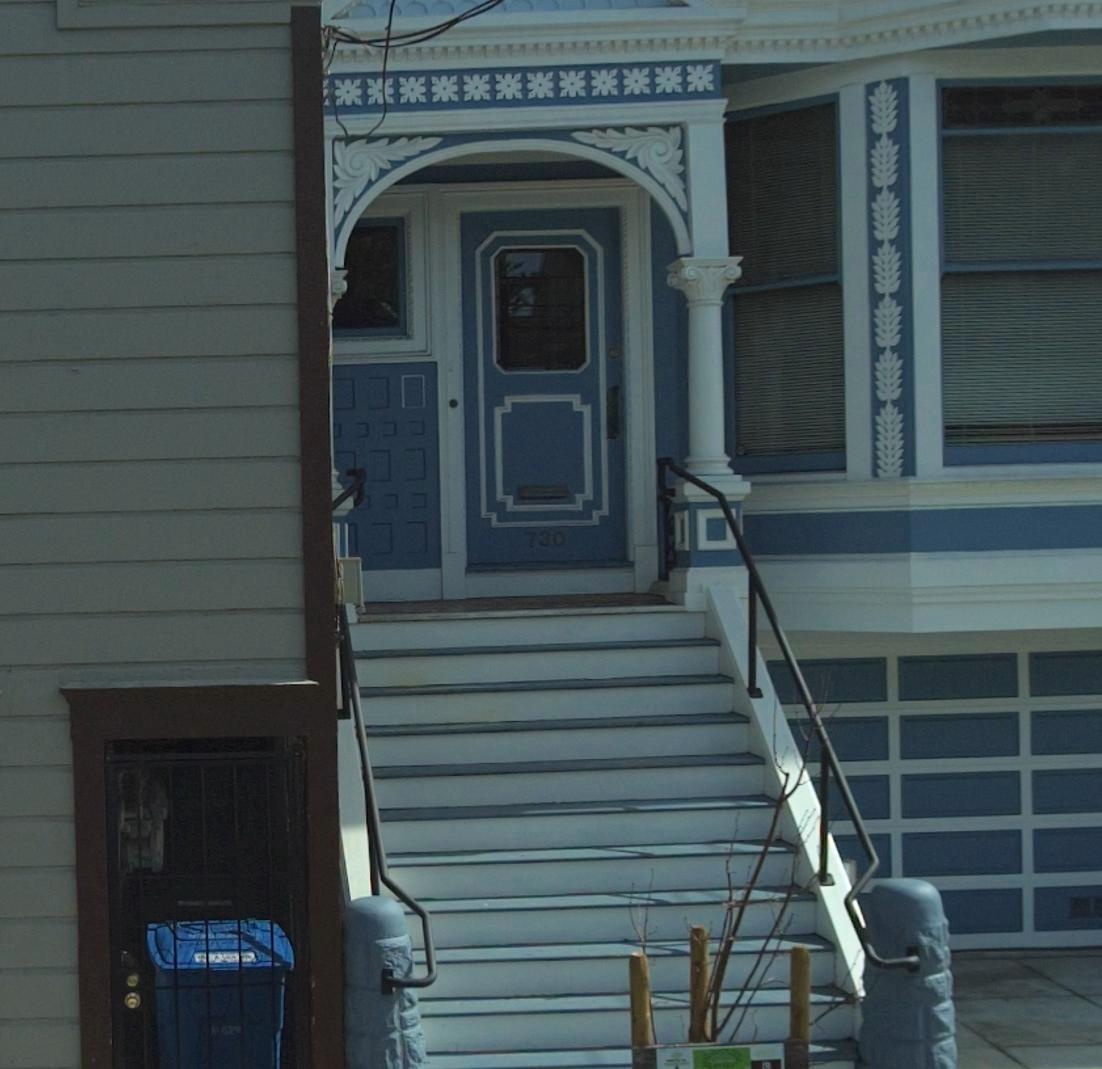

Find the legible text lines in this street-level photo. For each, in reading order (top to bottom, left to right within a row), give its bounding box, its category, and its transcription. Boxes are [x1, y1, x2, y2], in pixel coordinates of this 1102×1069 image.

[524, 528, 569, 550] StreetNumber: 730